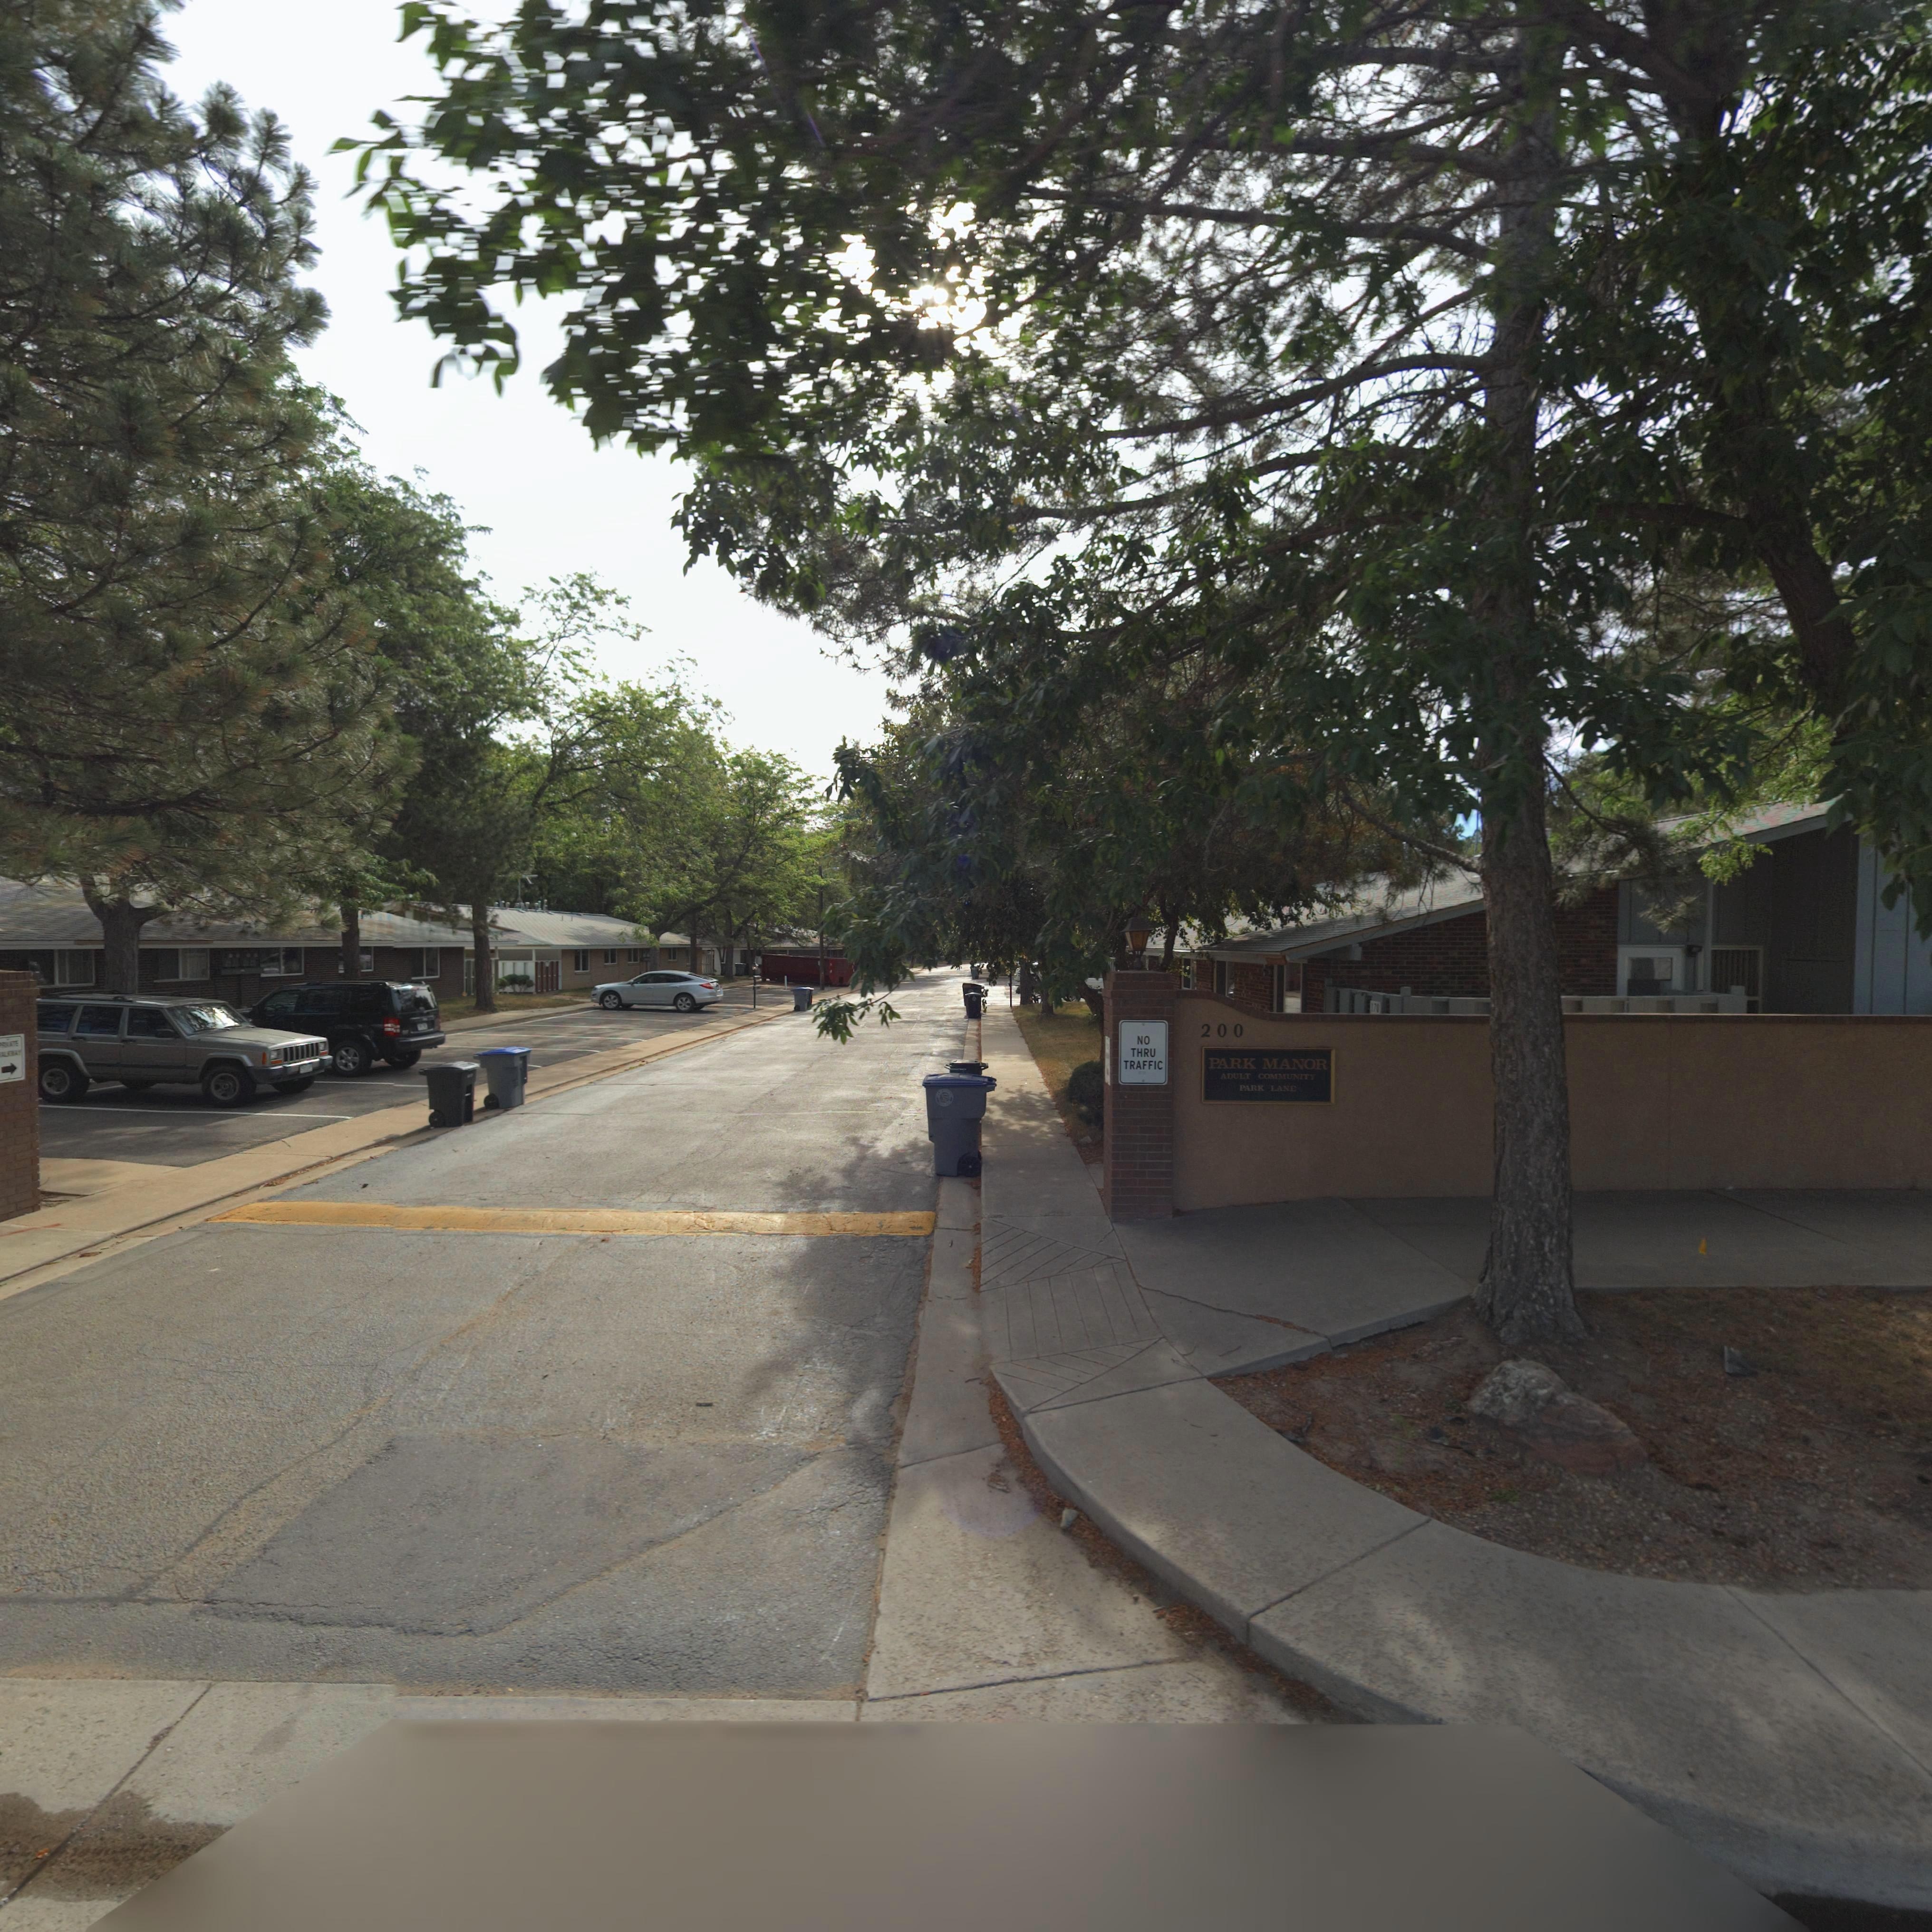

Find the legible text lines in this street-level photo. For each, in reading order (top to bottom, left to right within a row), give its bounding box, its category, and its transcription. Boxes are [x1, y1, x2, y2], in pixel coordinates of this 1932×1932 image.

[1199, 1022, 1244, 1038] StreetNumber: 200
[1239, 1084, 1297, 1092] StreetName: PARK LANE